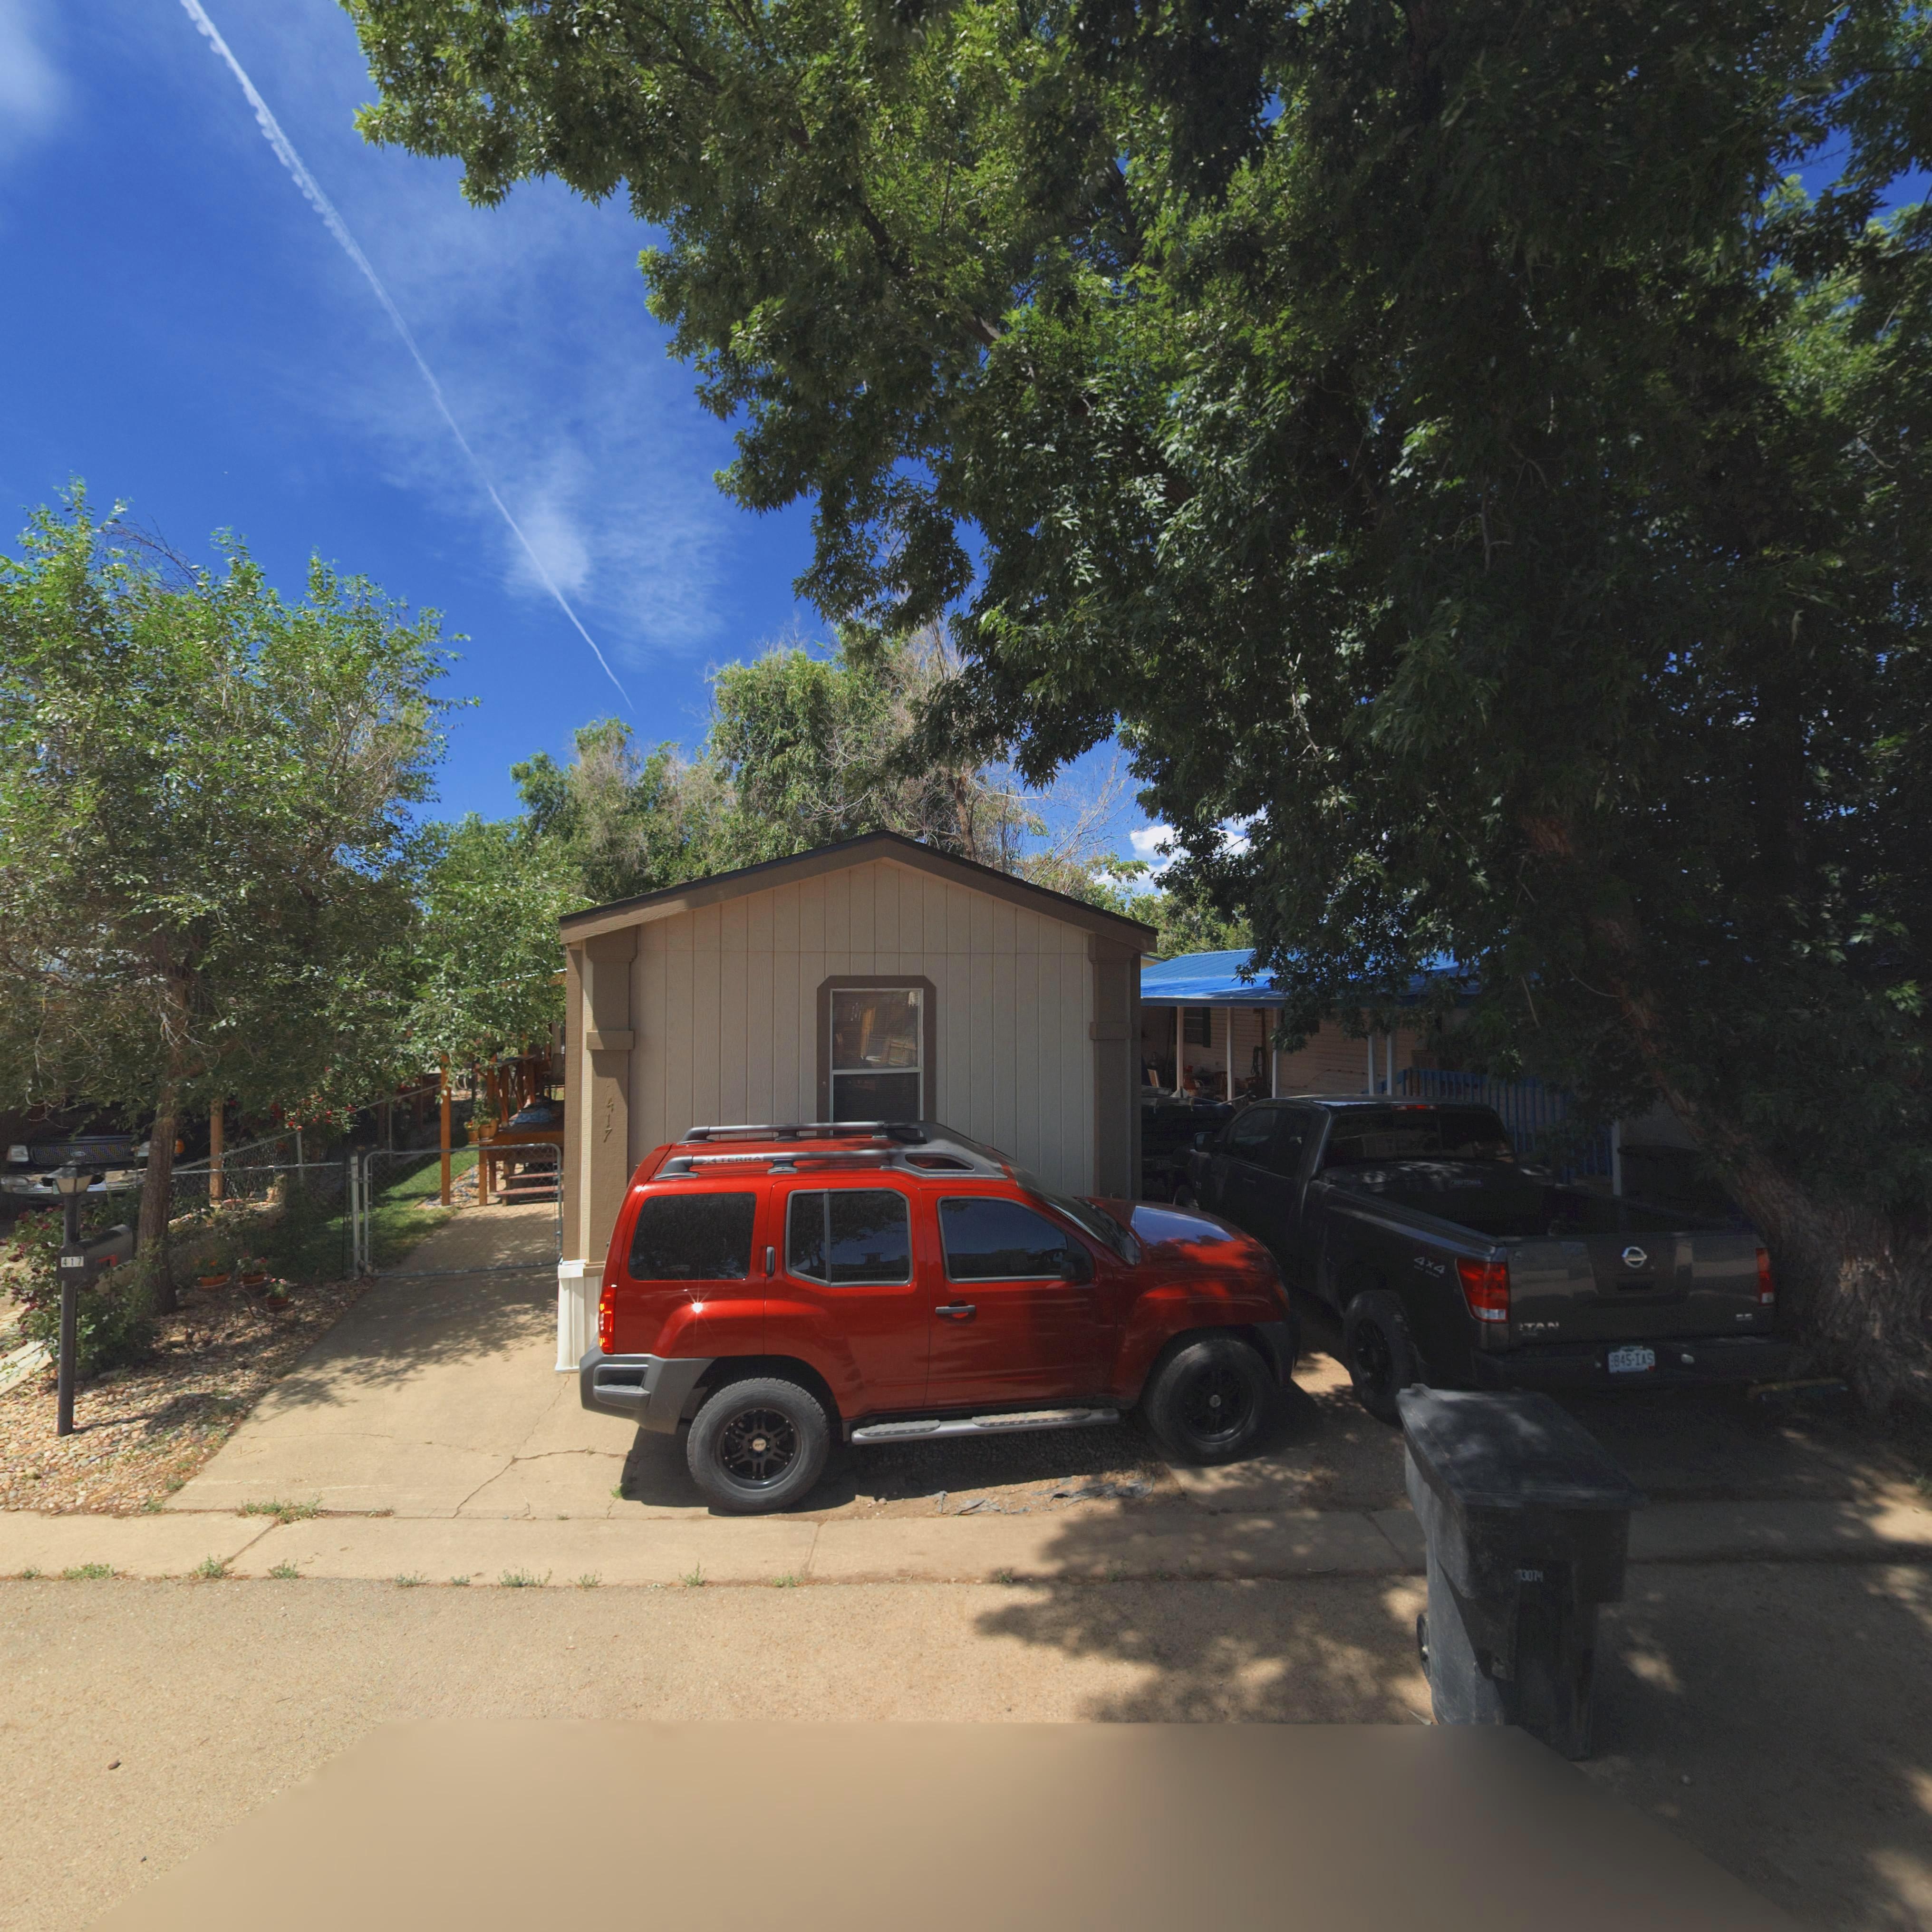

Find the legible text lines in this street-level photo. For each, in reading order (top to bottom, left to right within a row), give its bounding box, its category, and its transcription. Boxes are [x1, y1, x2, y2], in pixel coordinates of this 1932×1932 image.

[603, 1096, 614, 1145] StreetNumber: 417
[61, 1256, 83, 1266] StreetNumber: 417